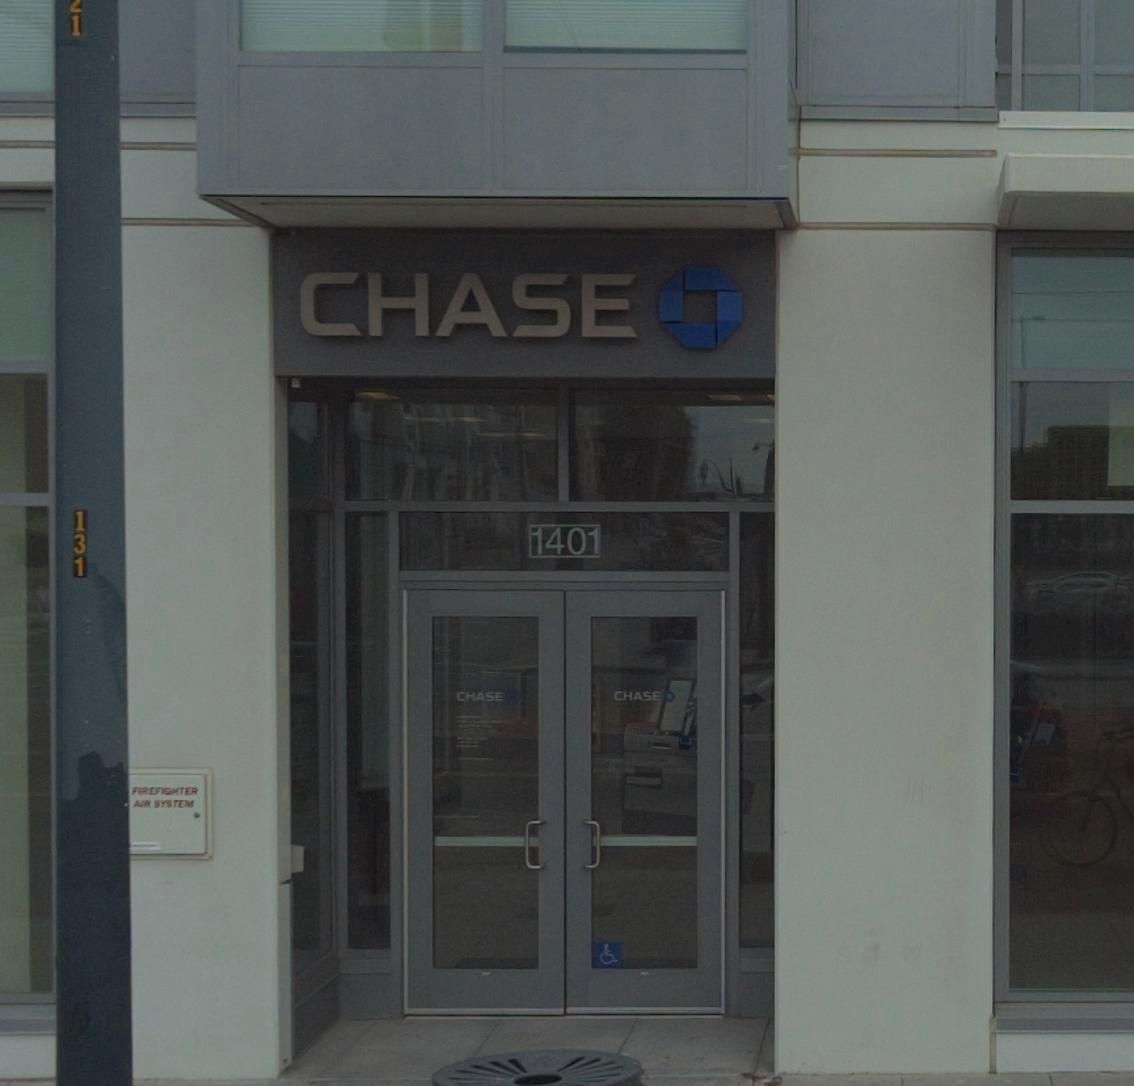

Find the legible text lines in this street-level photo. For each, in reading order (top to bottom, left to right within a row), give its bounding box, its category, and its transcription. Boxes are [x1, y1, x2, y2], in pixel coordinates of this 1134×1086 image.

[69, 13, 83, 38] None: 1
[294, 264, 643, 343] BusinessName: CHASE
[70, 508, 90, 578] None: 131
[529, 524, 601, 558] StreetNumber: 1401
[454, 689, 505, 704] BusinessName: CHASE
[611, 687, 663, 703] BusinessName: CHASE
[129, 784, 203, 798] None: FIREFIGHTER
[130, 797, 199, 811] None: AIR SYSTEM